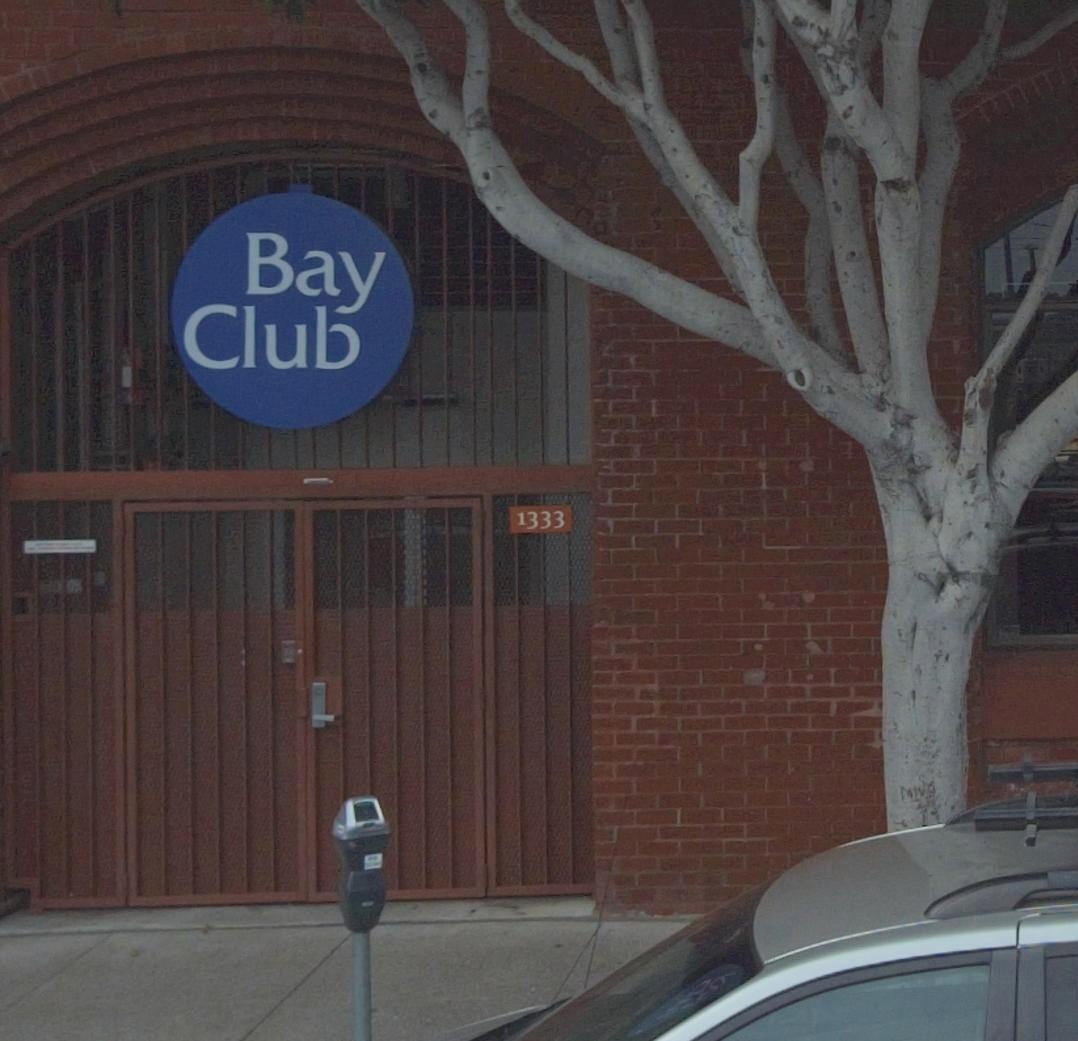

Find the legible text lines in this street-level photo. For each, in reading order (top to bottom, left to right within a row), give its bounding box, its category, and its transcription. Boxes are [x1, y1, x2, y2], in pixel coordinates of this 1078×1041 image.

[240, 223, 394, 324] BusinessName: Bay
[172, 294, 368, 377] BusinessName: Clun
[514, 507, 568, 533] StreetNumber: 1333